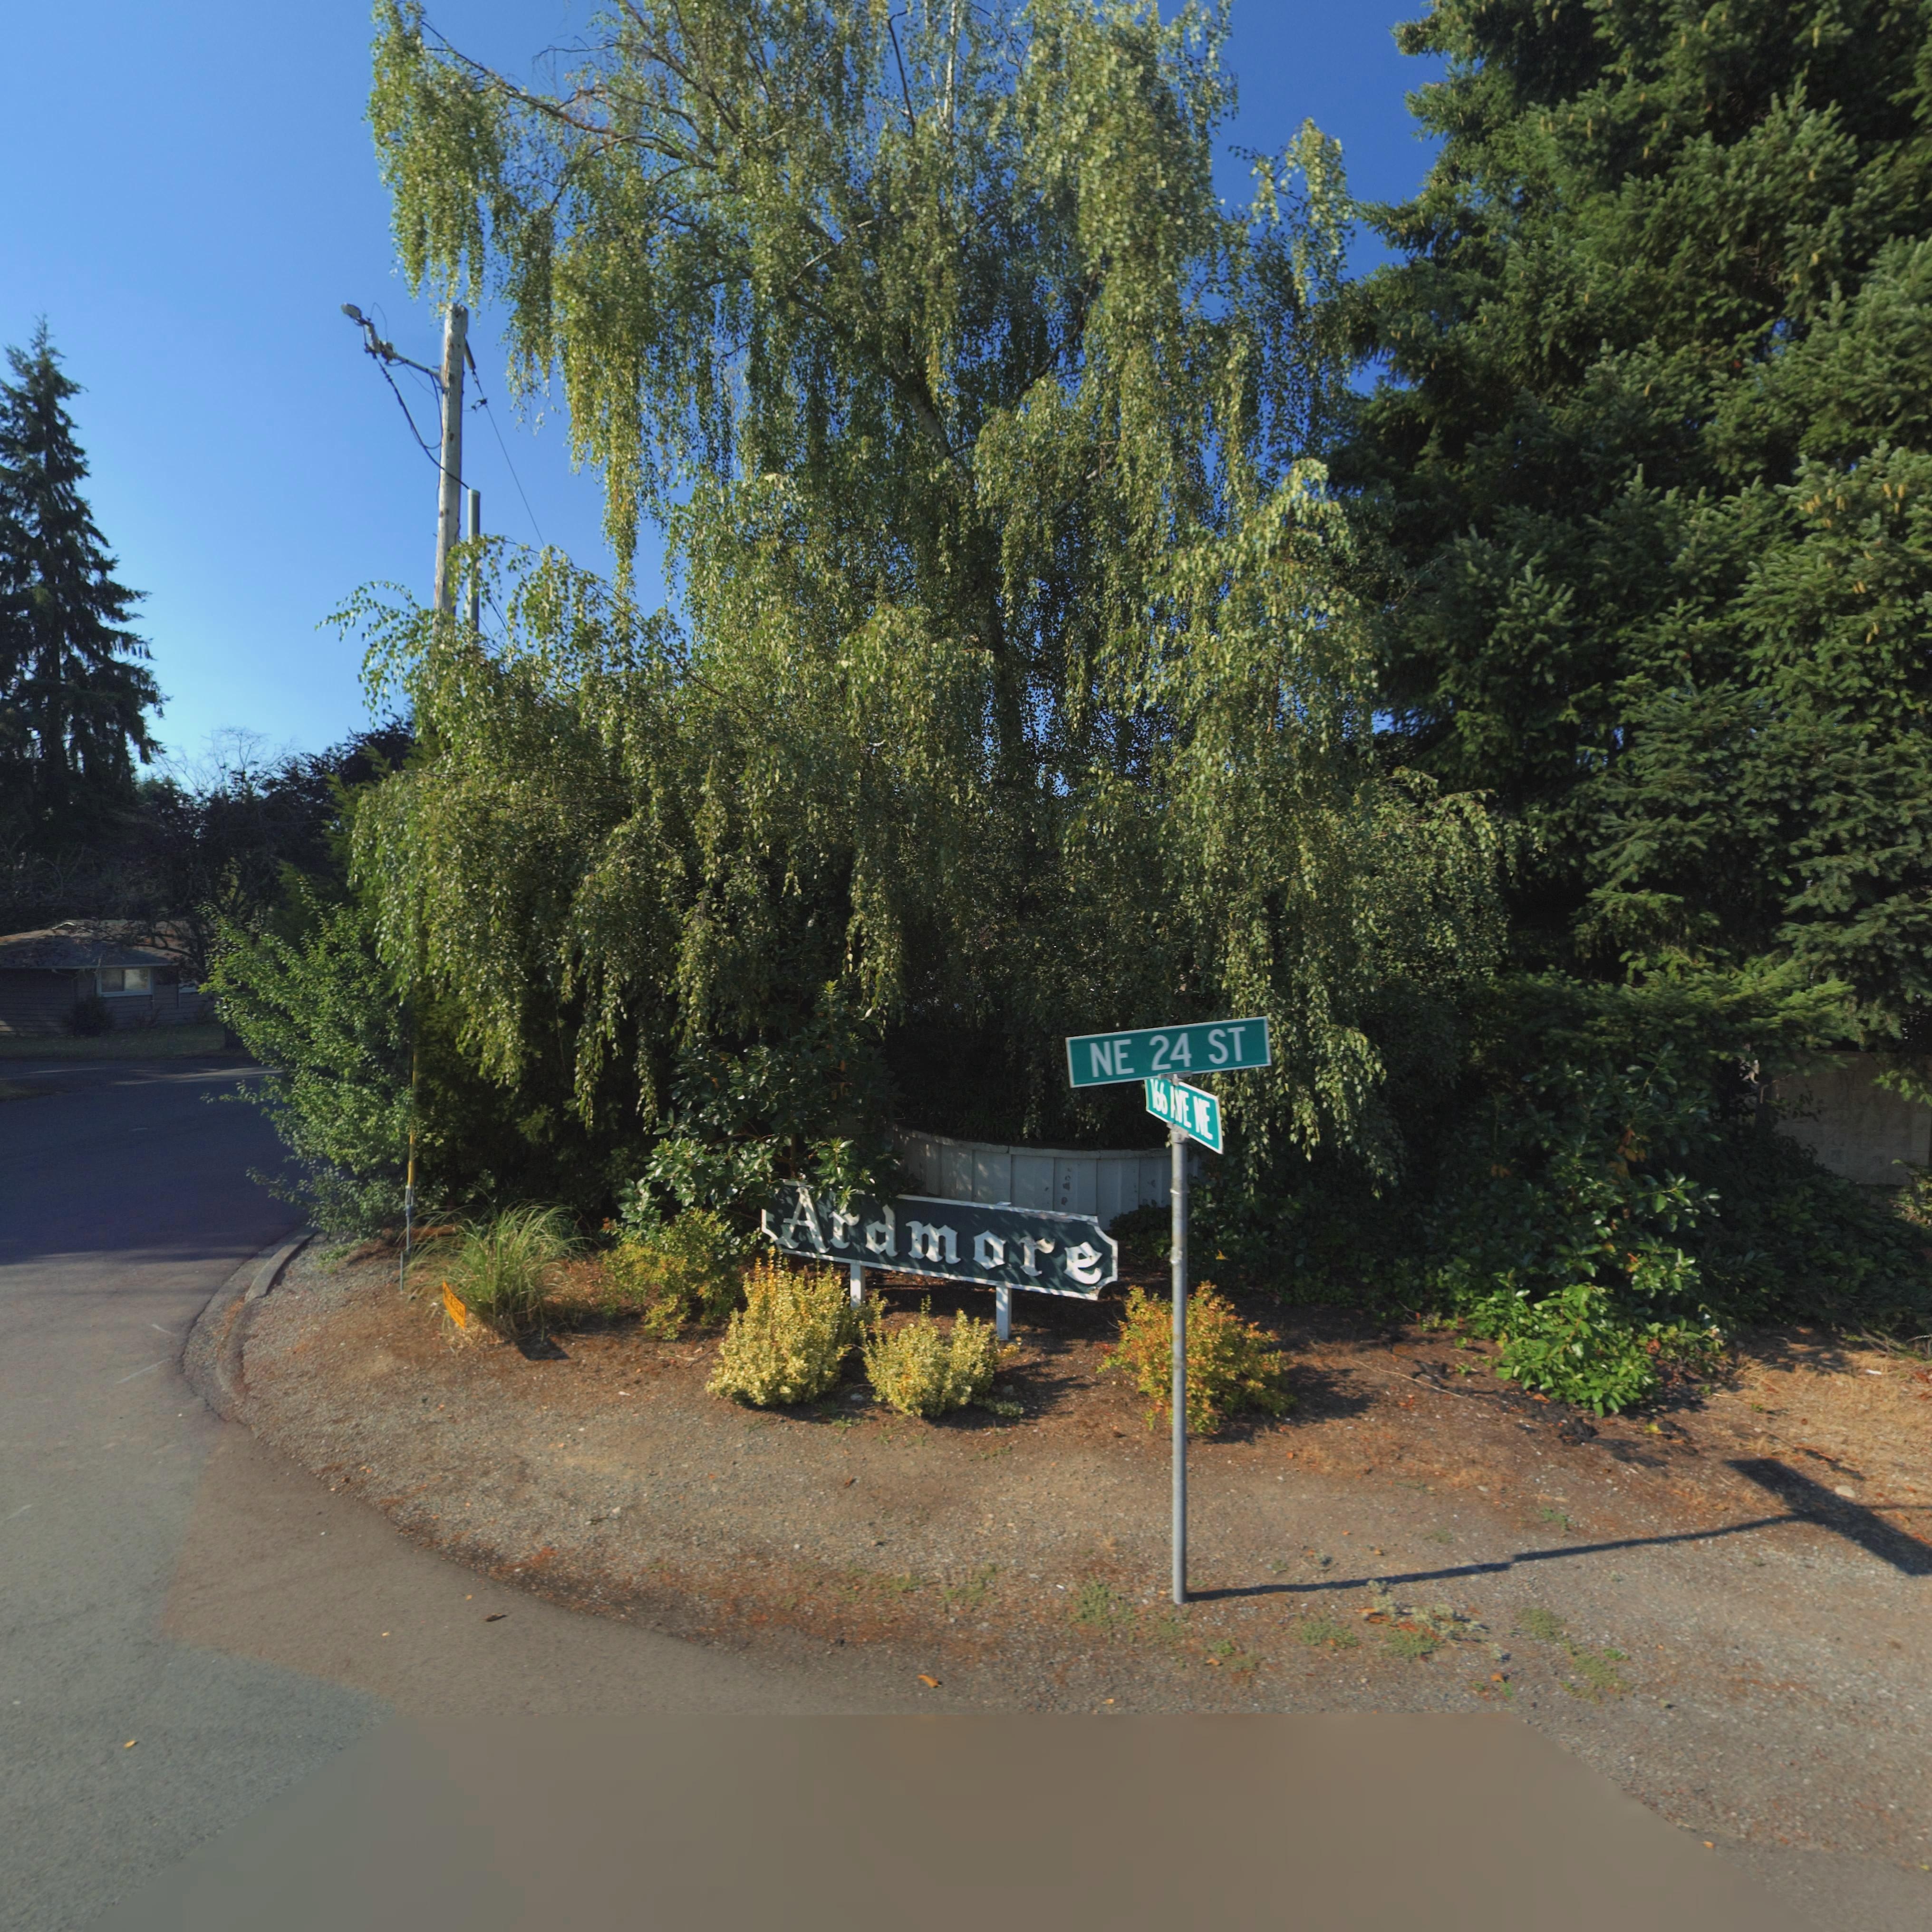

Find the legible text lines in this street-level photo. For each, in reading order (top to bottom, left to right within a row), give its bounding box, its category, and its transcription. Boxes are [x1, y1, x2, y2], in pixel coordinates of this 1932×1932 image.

[1086, 1024, 1248, 1081] StreetName: NE 24 ST
[1148, 1077, 1215, 1144] StreetName: 166 AVE NE
[779, 1179, 1114, 1290] None: Ardmore